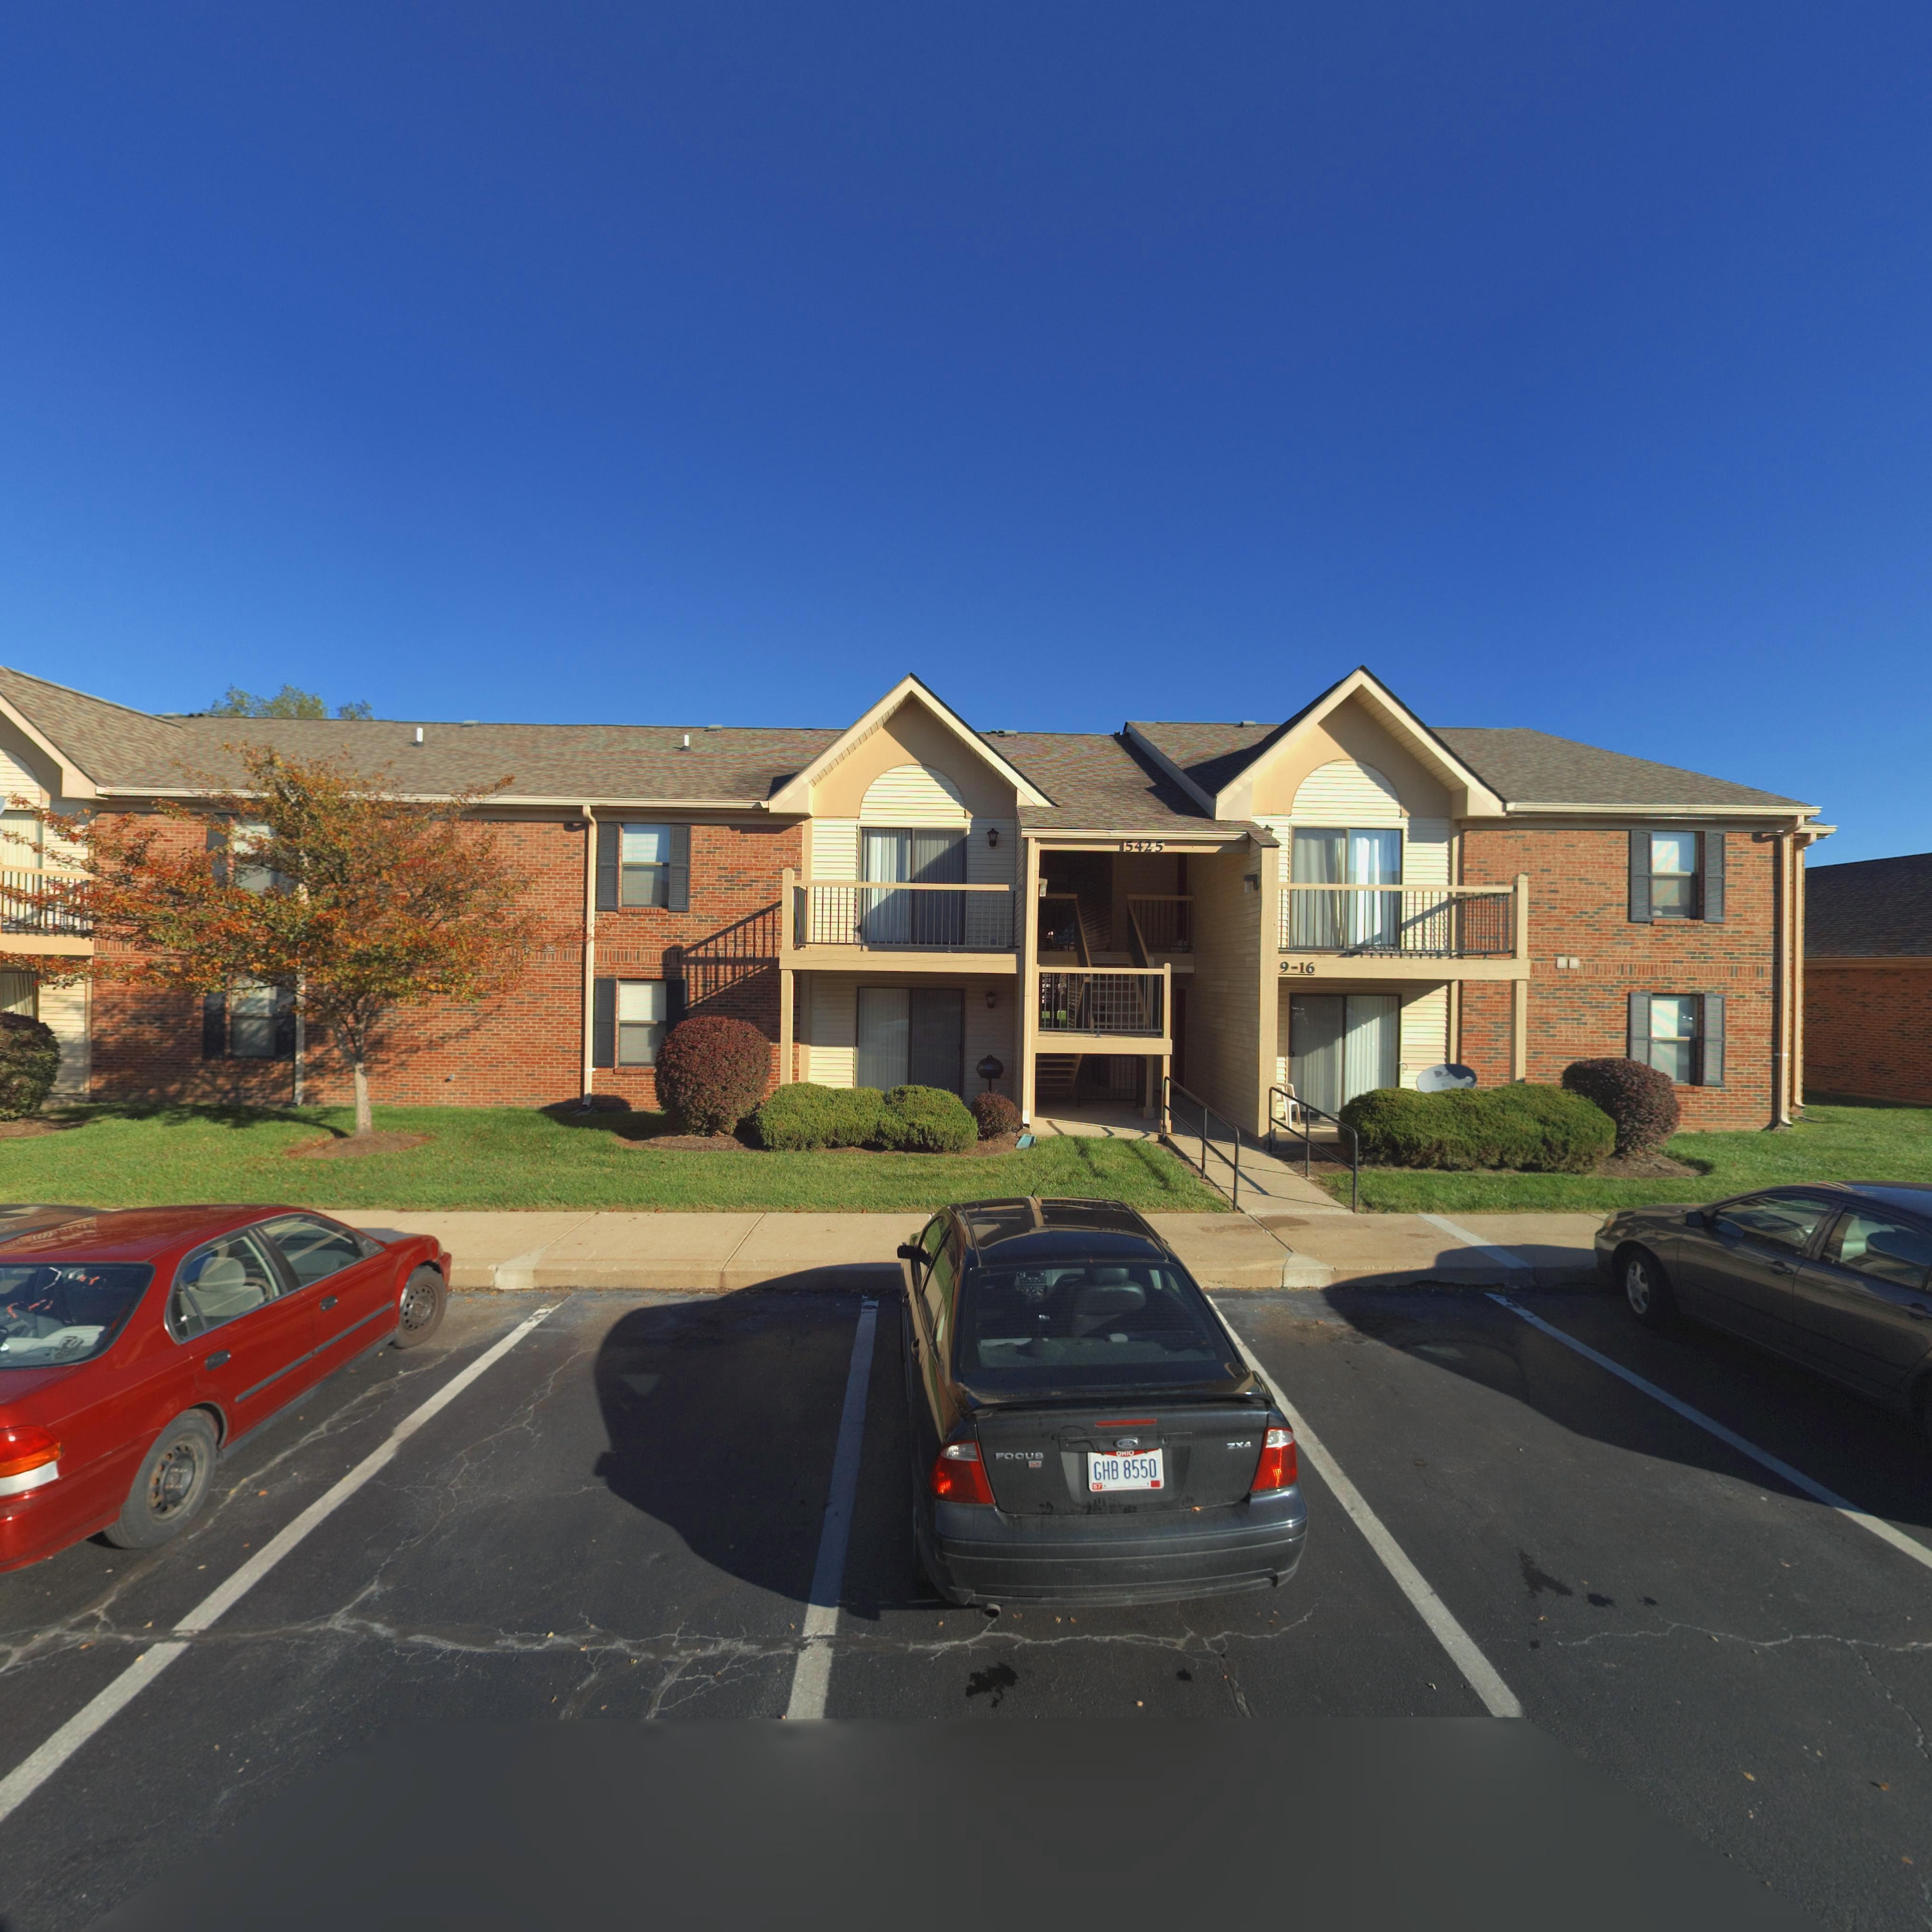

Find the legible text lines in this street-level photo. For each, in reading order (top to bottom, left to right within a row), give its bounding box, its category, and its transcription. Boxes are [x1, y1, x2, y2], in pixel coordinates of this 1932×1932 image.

[1123, 839, 1165, 852] StreetNumber: 5425
[1279, 961, 1315, 974] StreetNumber: 9-16